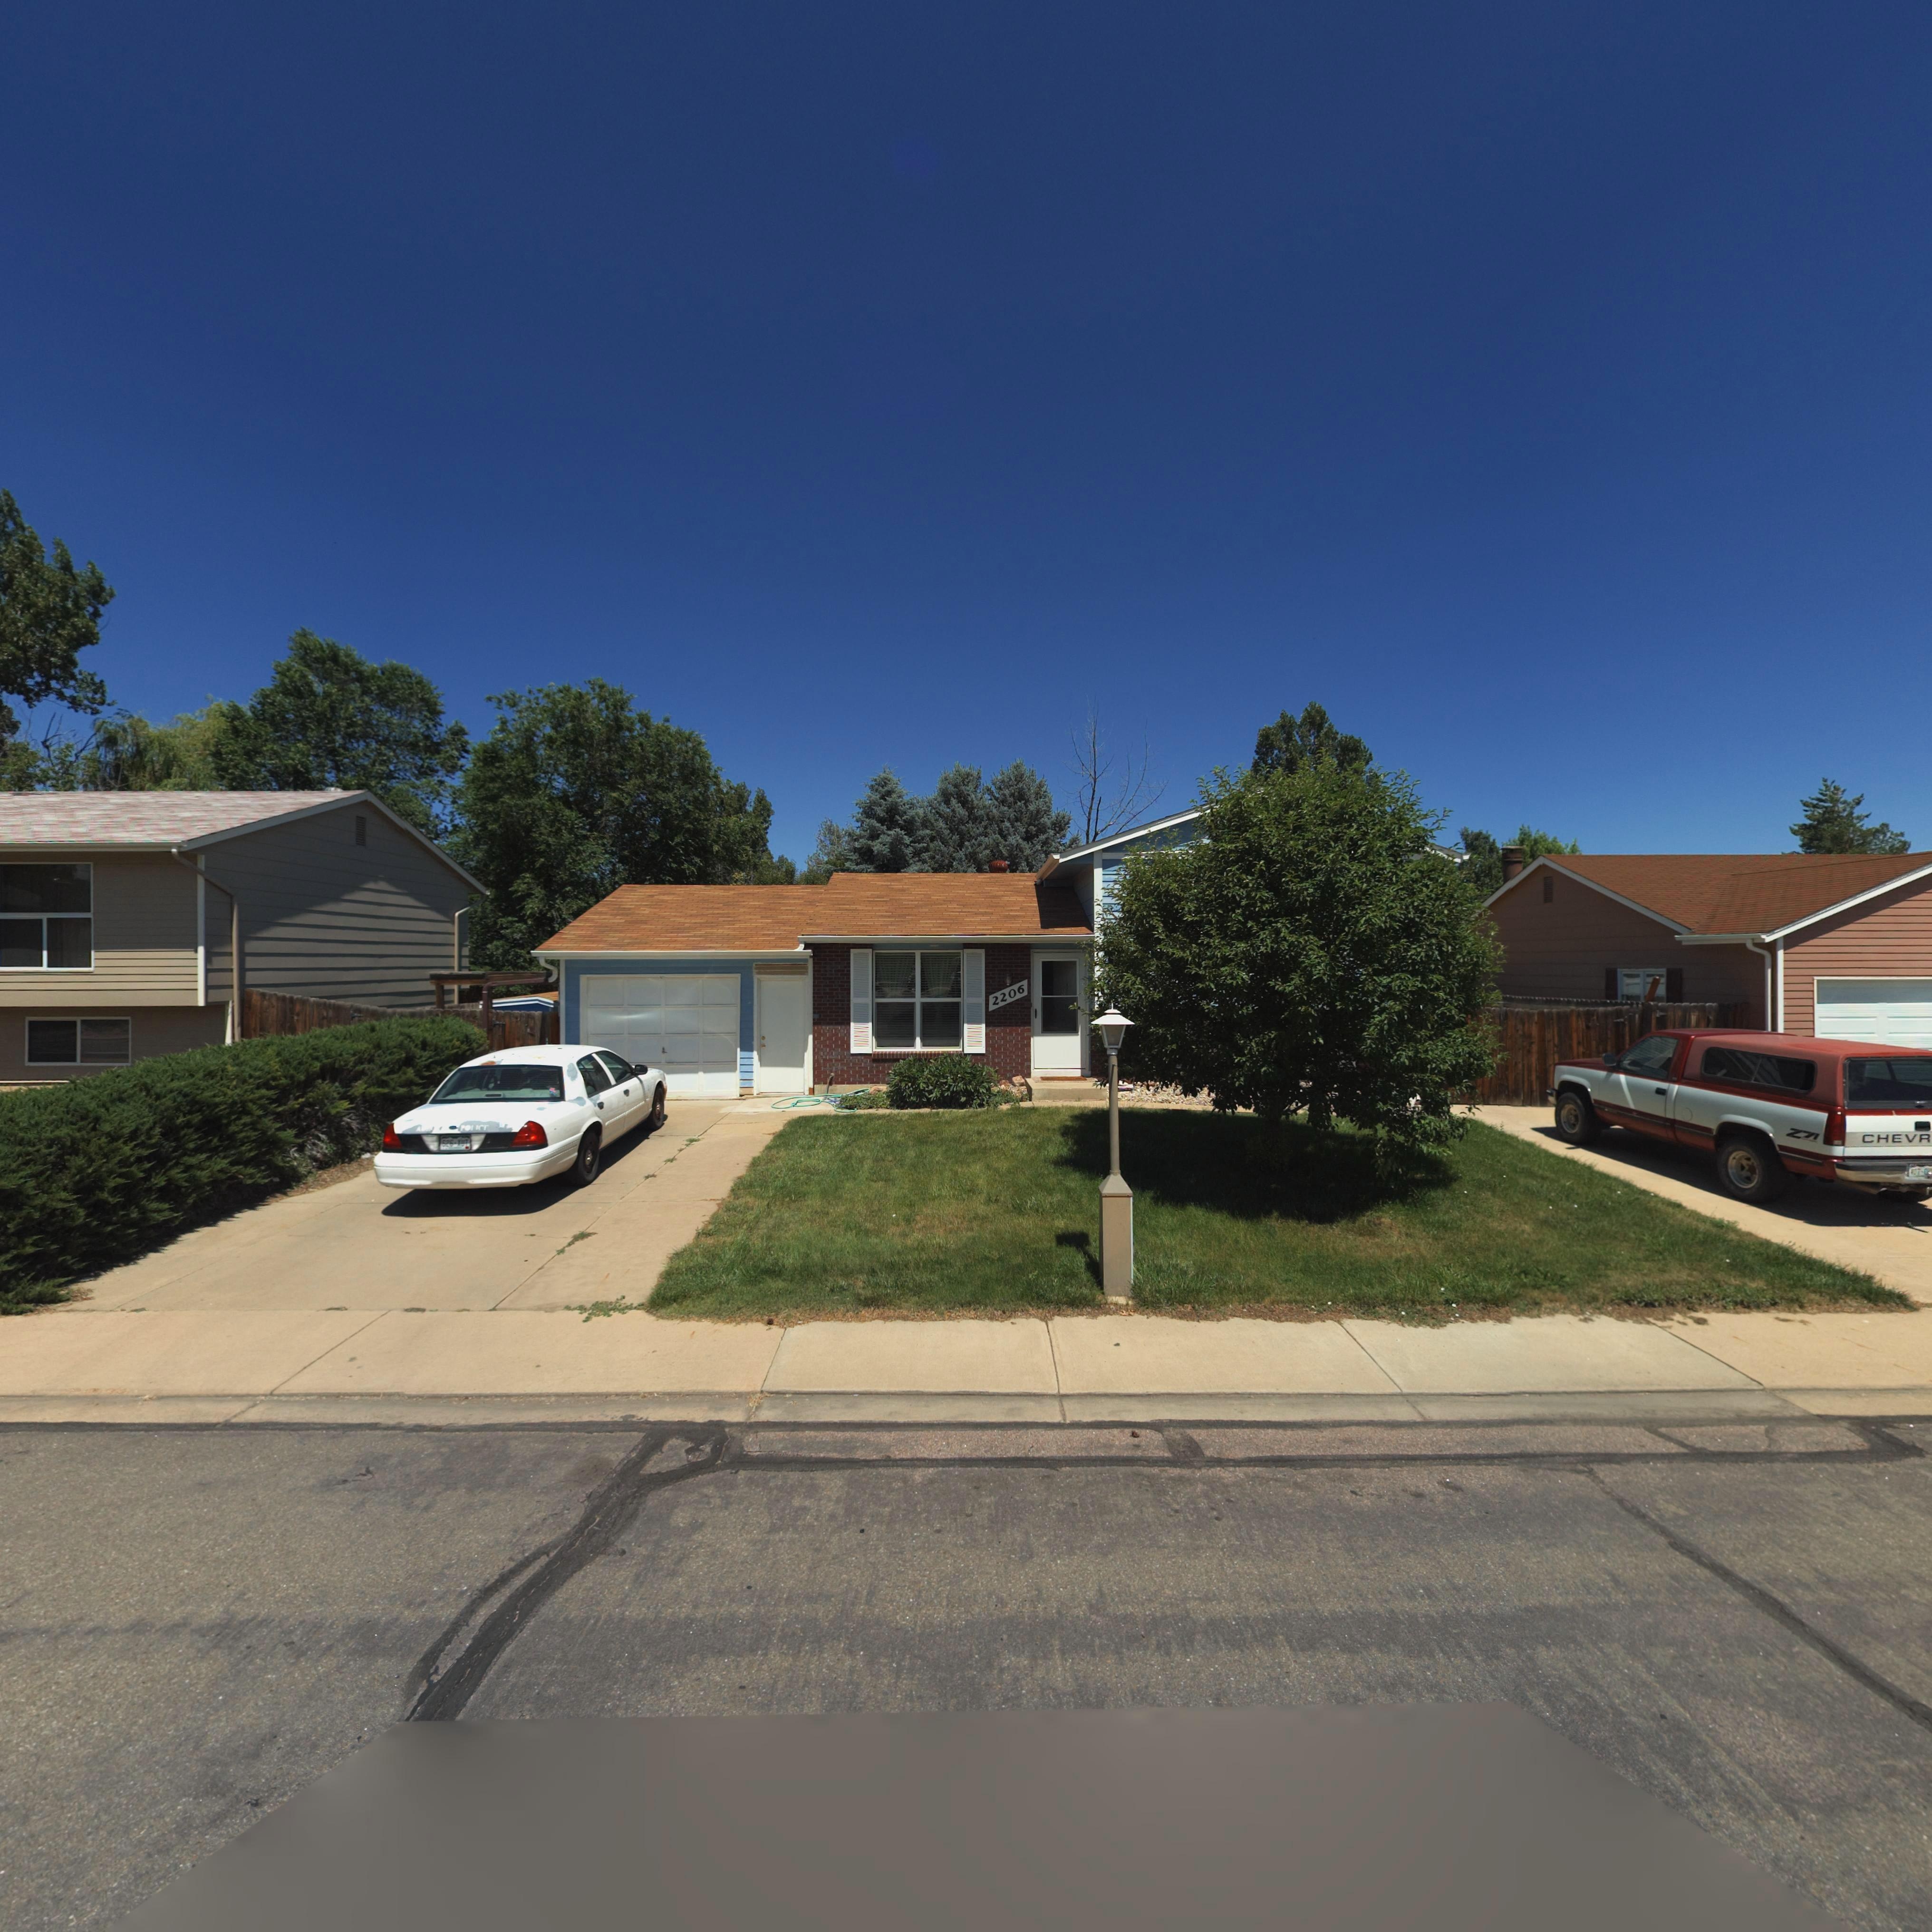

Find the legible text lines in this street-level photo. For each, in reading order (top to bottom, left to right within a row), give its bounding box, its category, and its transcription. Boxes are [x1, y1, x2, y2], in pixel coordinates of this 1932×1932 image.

[992, 984, 1025, 1005] StreetNumber: 2206